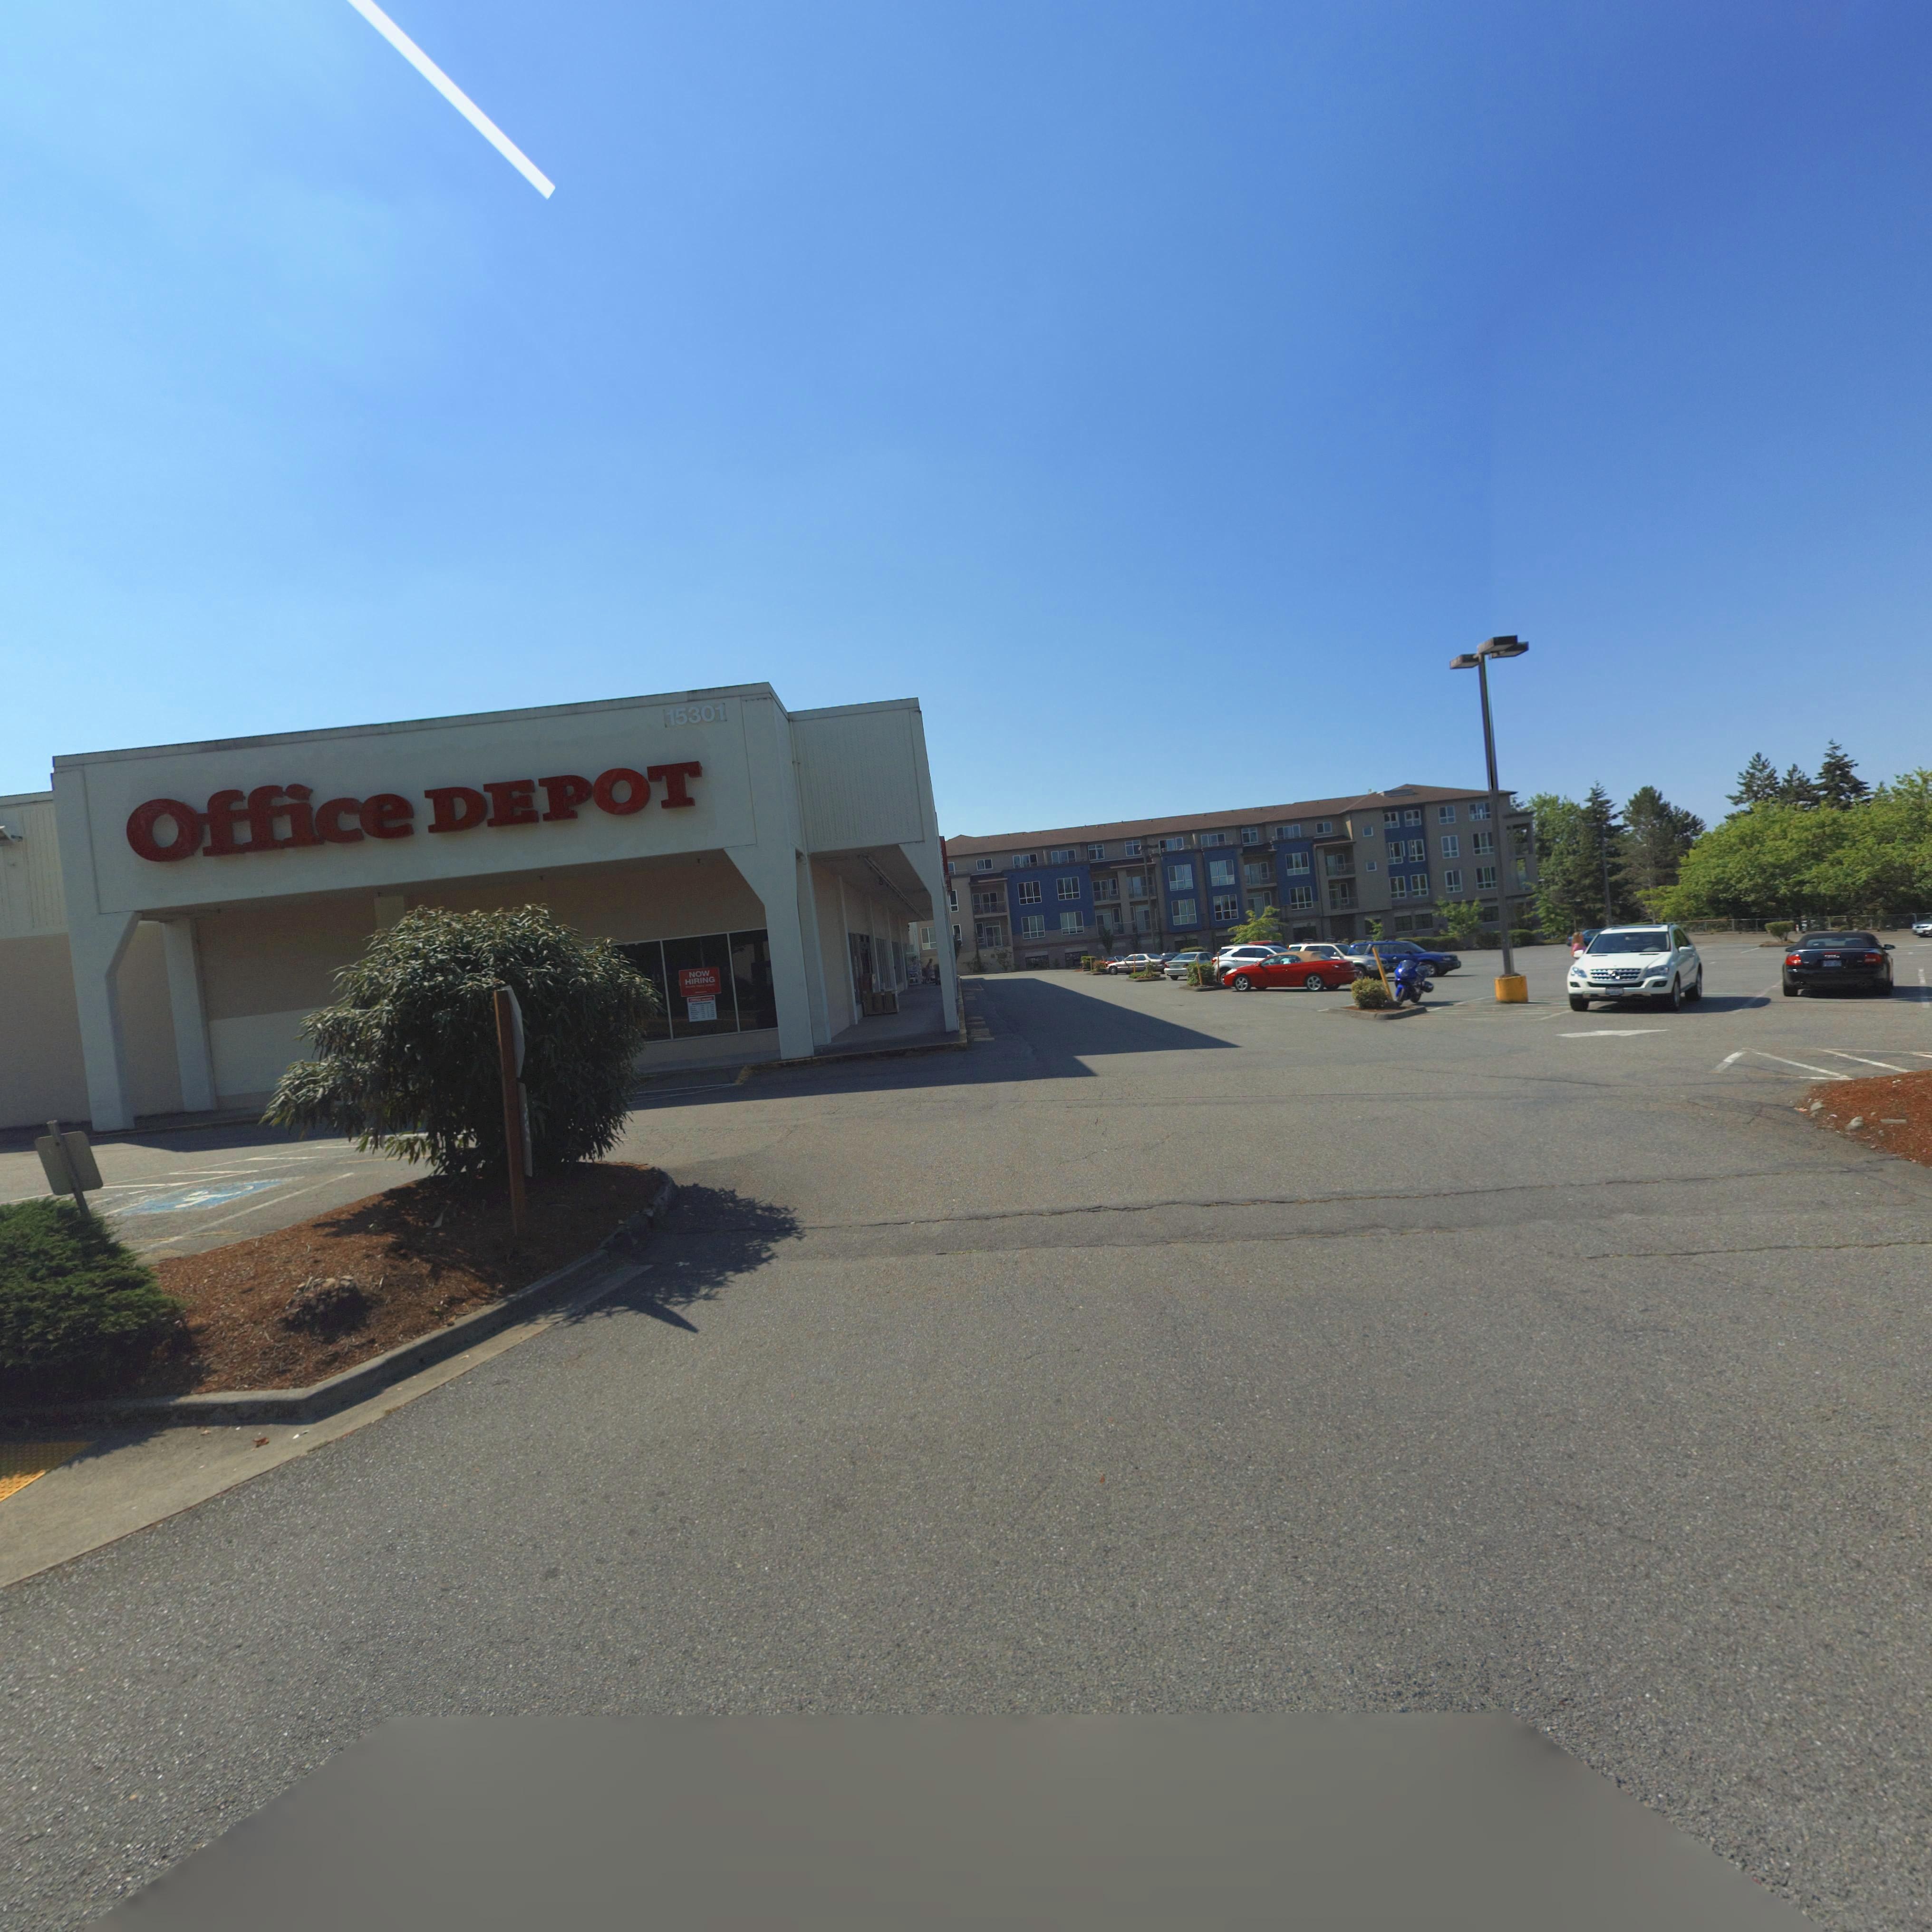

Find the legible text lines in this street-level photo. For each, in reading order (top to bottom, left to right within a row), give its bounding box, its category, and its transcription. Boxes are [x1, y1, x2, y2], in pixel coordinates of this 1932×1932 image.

[666, 703, 726, 728] StreetNumber: 15301
[121, 758, 703, 865] BusinessName: Office DEPOT